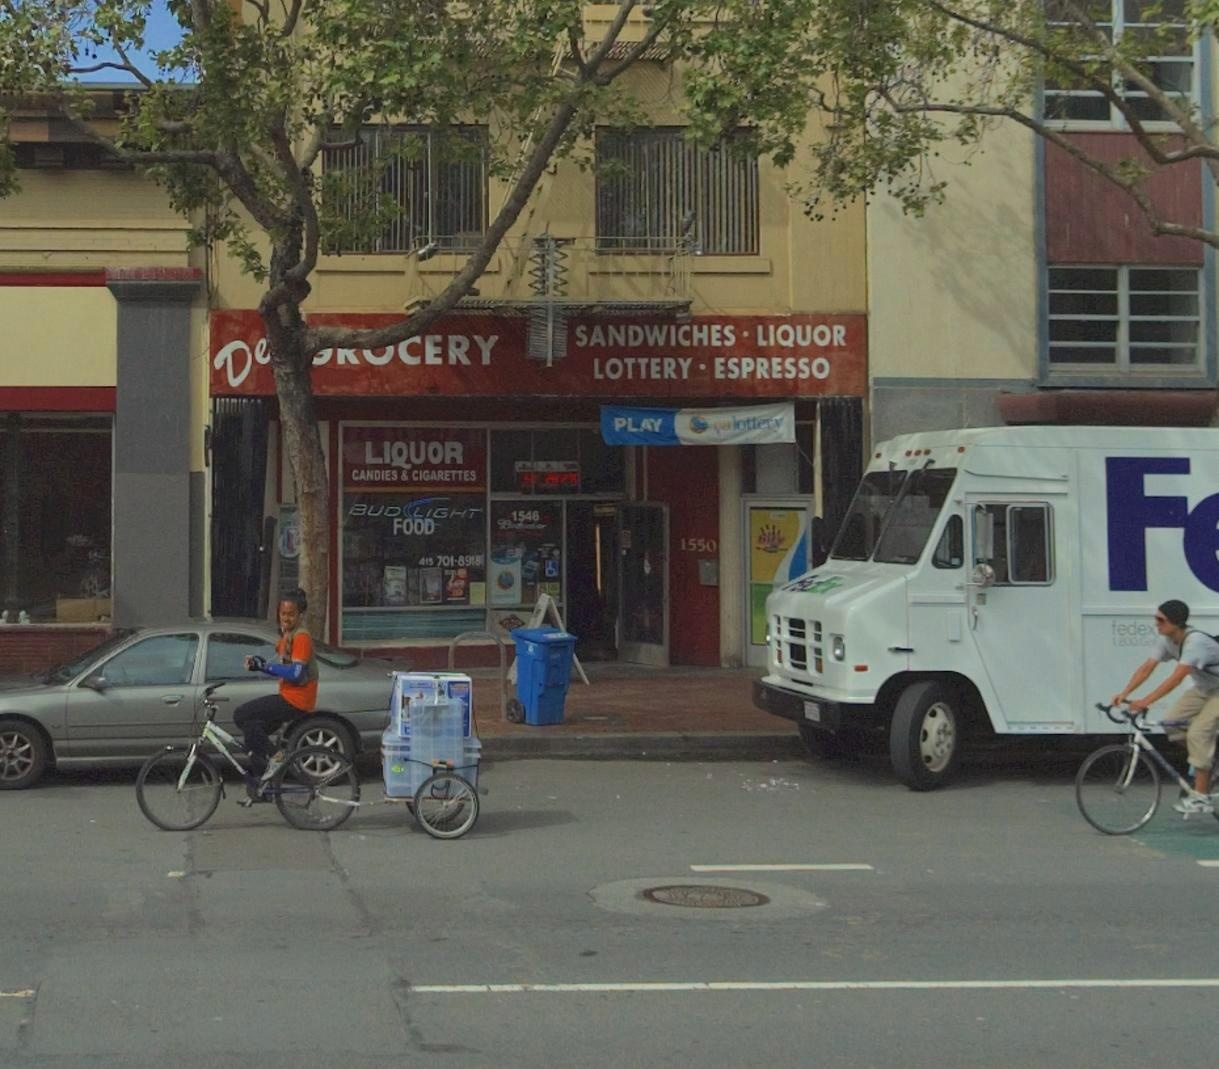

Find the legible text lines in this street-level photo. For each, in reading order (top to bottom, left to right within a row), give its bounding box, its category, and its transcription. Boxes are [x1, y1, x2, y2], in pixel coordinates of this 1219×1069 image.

[574, 324, 847, 348] None: SANDWHICHES - LIQUOR
[397, 334, 499, 365] BusinessName: CERY
[213, 336, 273, 392] BusinessName: De
[593, 357, 831, 380] None: LOTTERY - ESPRESSO
[614, 417, 663, 433] None: PLAY
[713, 415, 785, 434] None: ca lottery
[365, 440, 465, 469] None: LIQUOR
[351, 468, 476, 482] None: CANDIES & CIGARETTES
[393, 518, 435, 536] None: FOOD
[346, 504, 483, 520] None: BUD LIGHT
[511, 508, 541, 523] StreetNumber: 1546
[1105, 456, 1191, 592] None: F
[680, 536, 719, 553] StreetNumber: 1550
[419, 554, 481, 567] None: 415 701-8918
[776, 573, 856, 595] None: FedEx
[1110, 618, 1157, 635] None: fedex
[1110, 635, 1154, 649] None: 1800Go